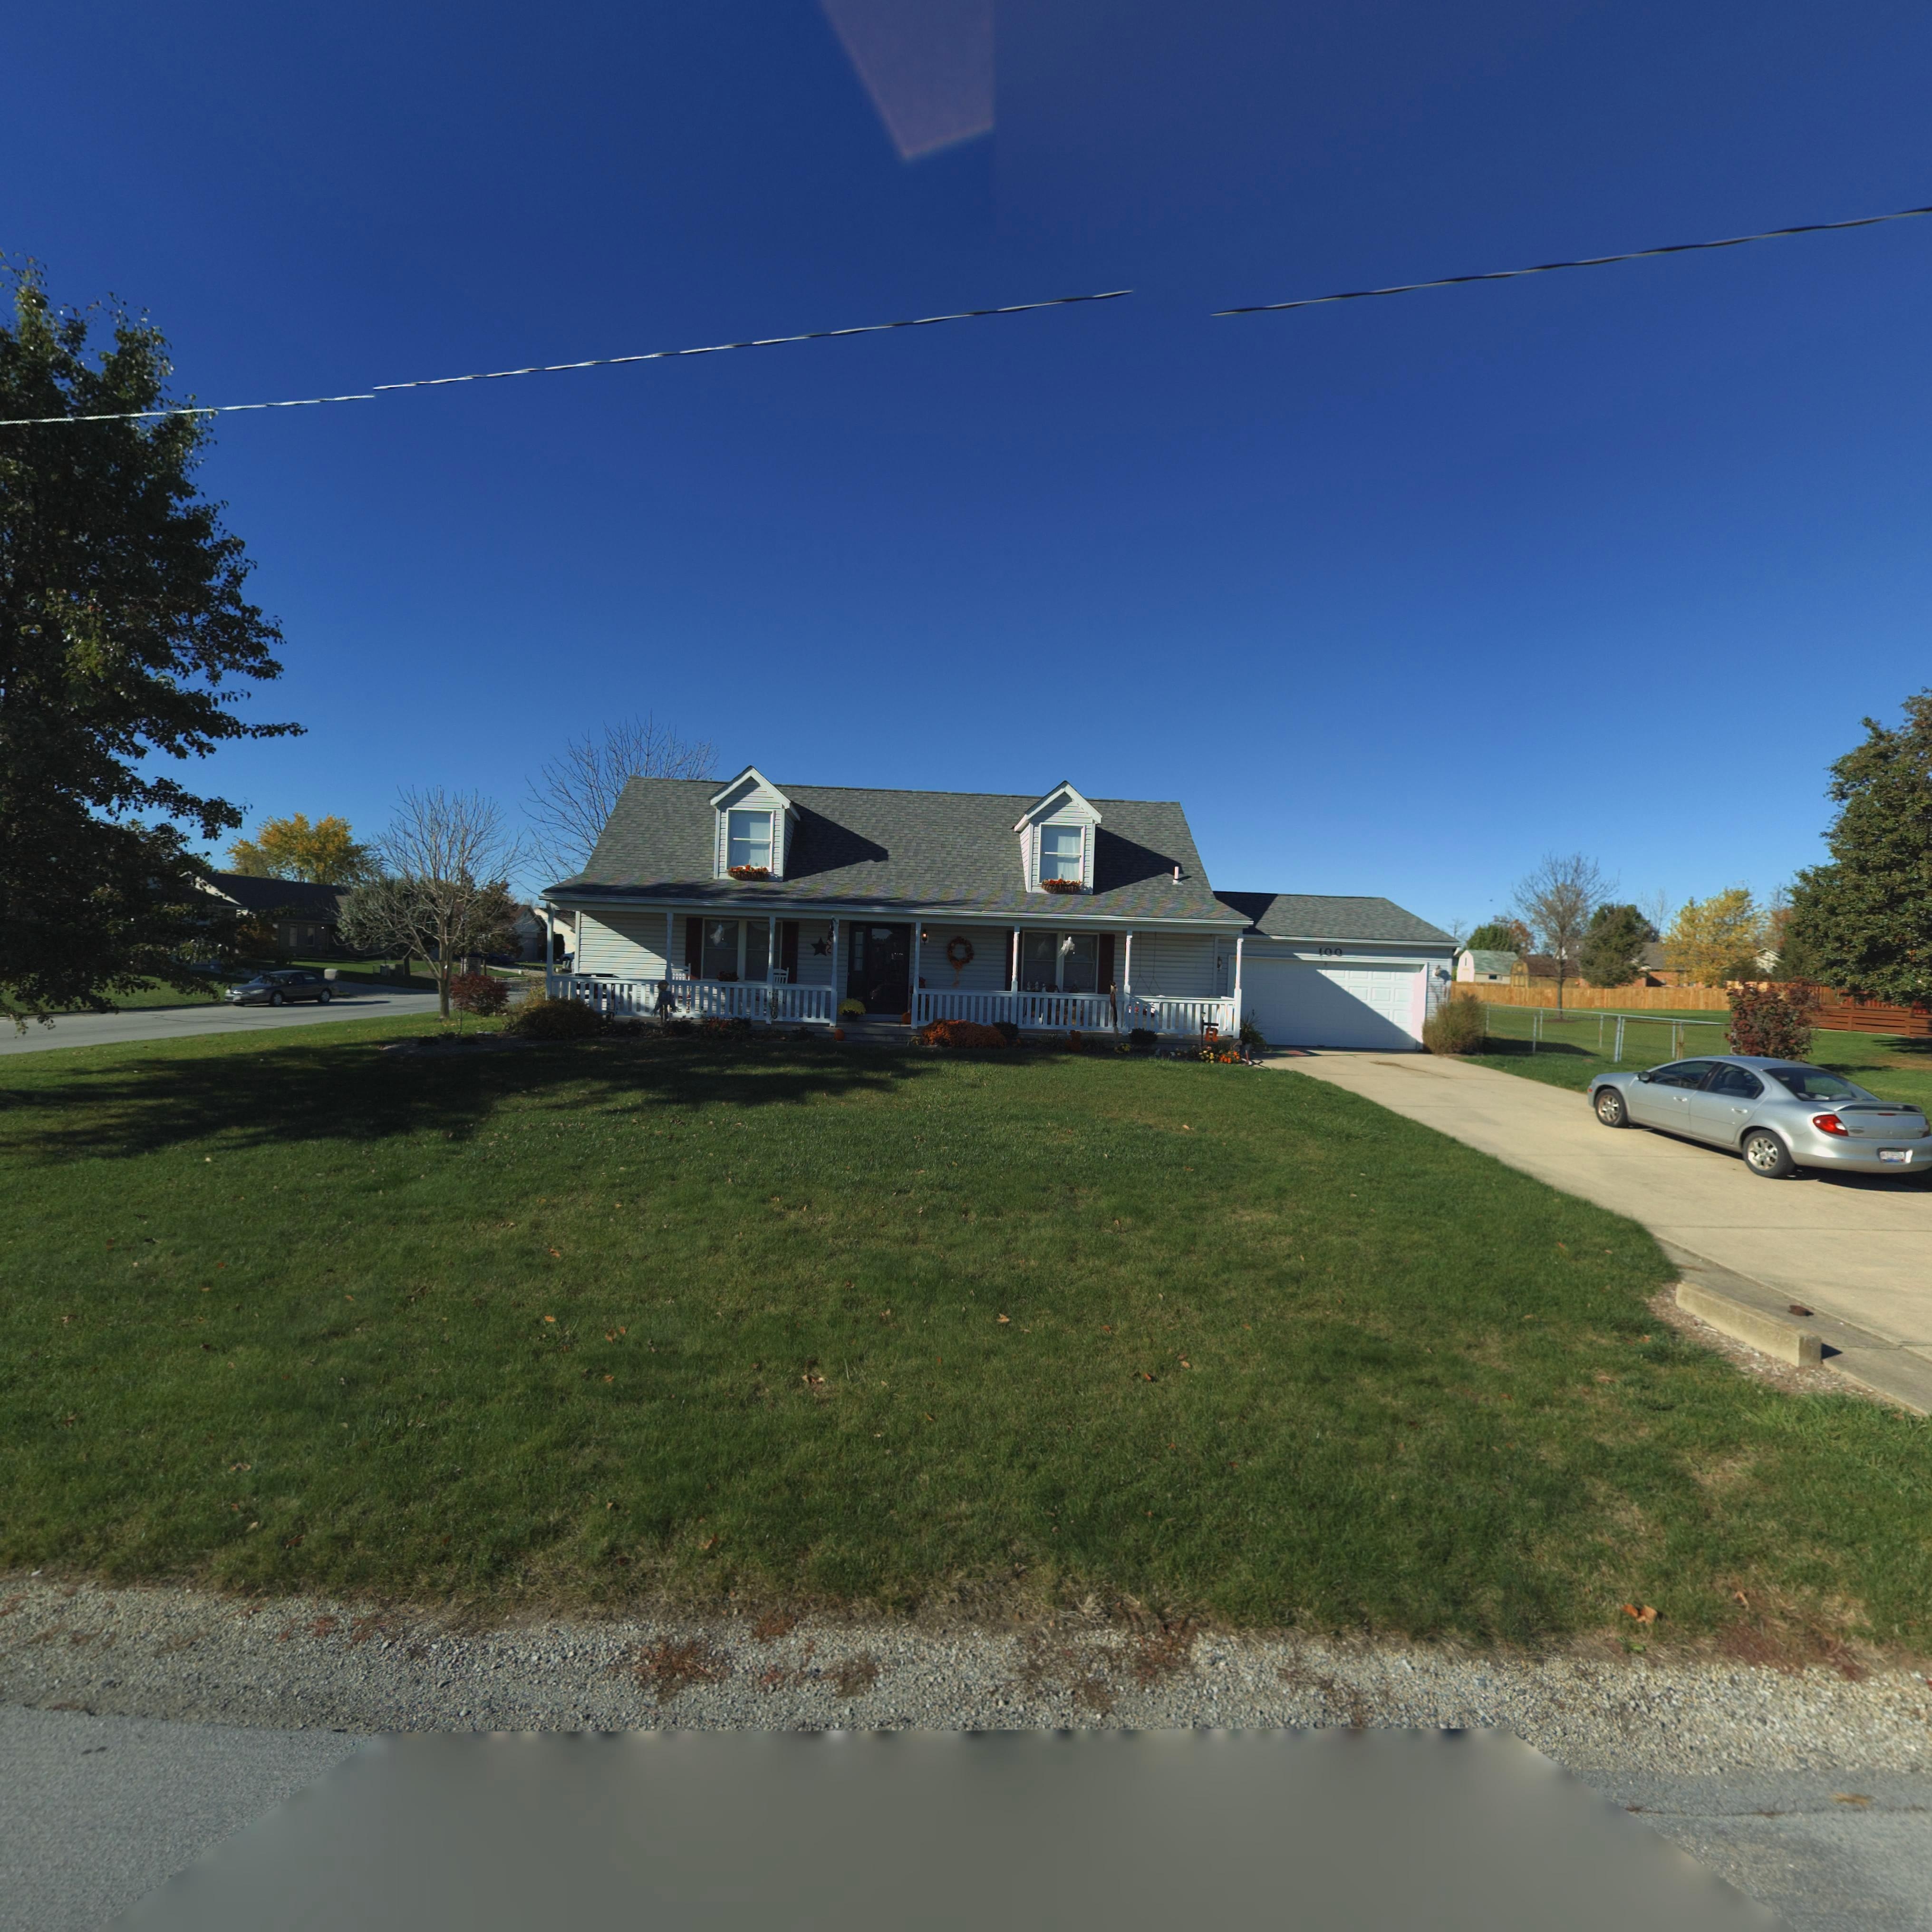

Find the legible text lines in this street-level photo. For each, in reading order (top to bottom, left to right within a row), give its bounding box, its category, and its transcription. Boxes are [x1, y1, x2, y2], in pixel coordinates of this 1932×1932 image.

[1317, 947, 1343, 956] StreetNumber: 100